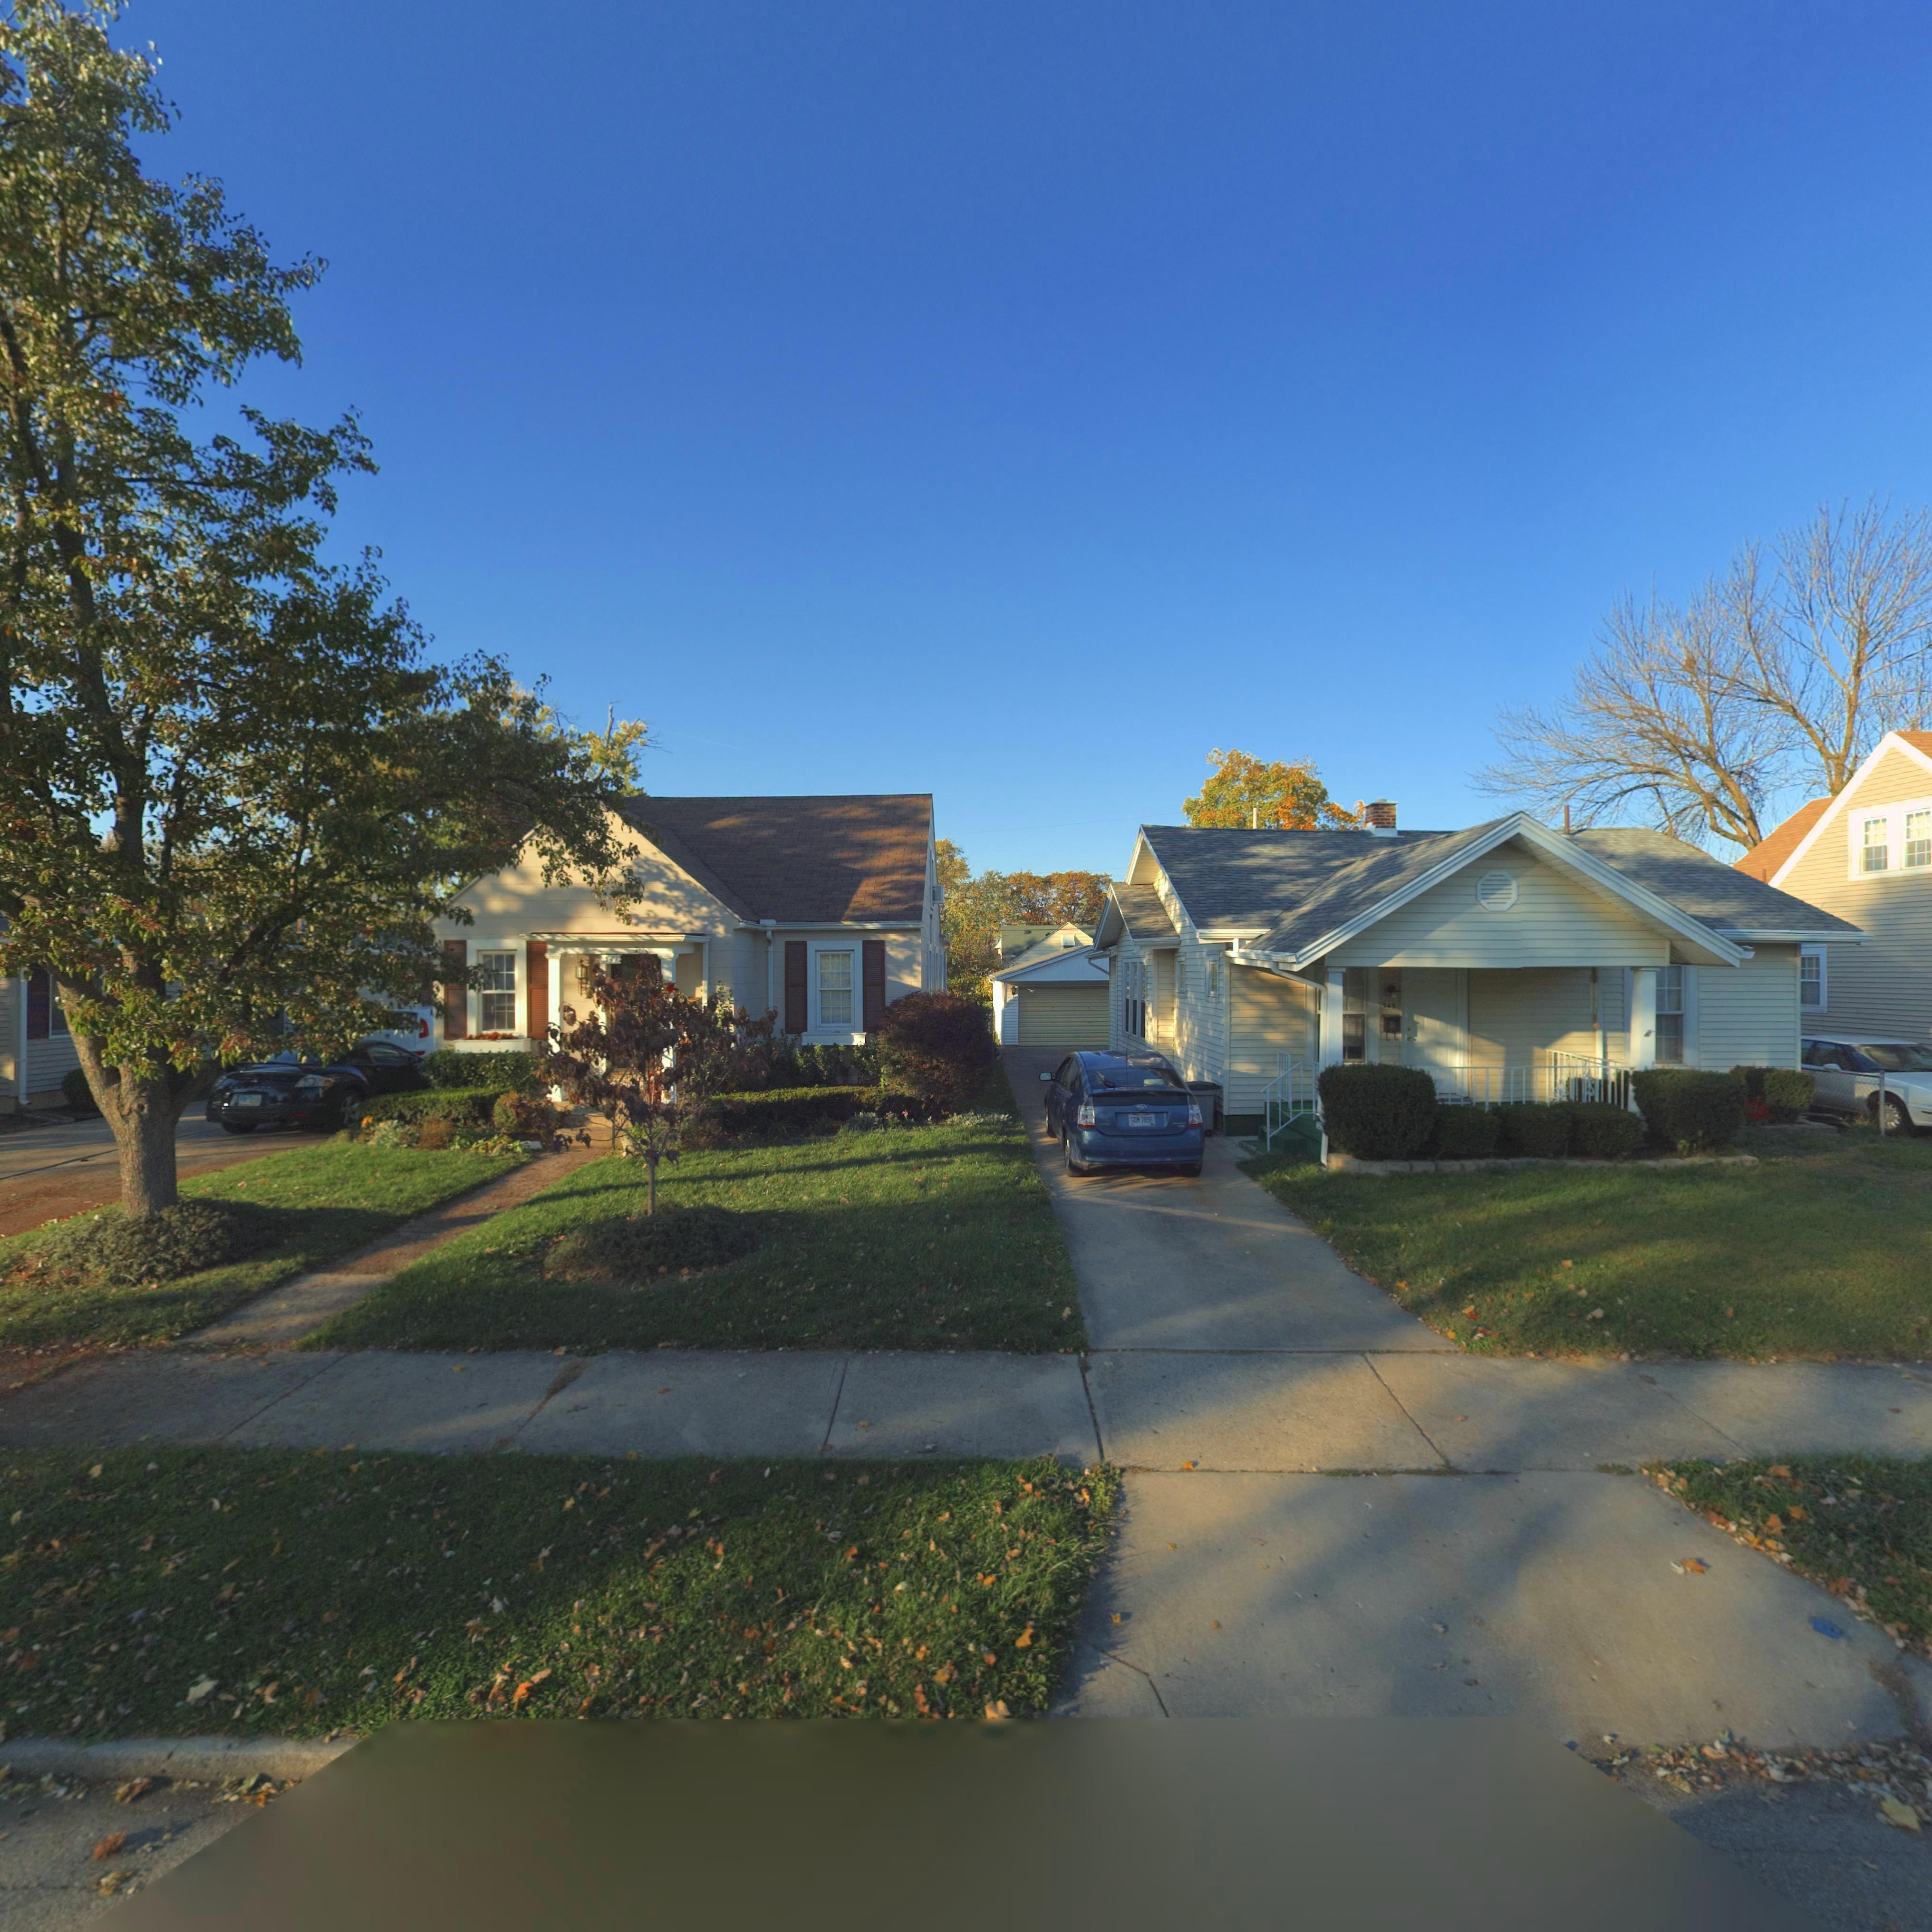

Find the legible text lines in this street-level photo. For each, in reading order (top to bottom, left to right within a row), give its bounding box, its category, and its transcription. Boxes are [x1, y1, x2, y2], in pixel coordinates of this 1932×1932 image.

[604, 956, 619, 963] StreetNumber: 541
[1381, 1002, 1396, 1010] StreetNumber: 345